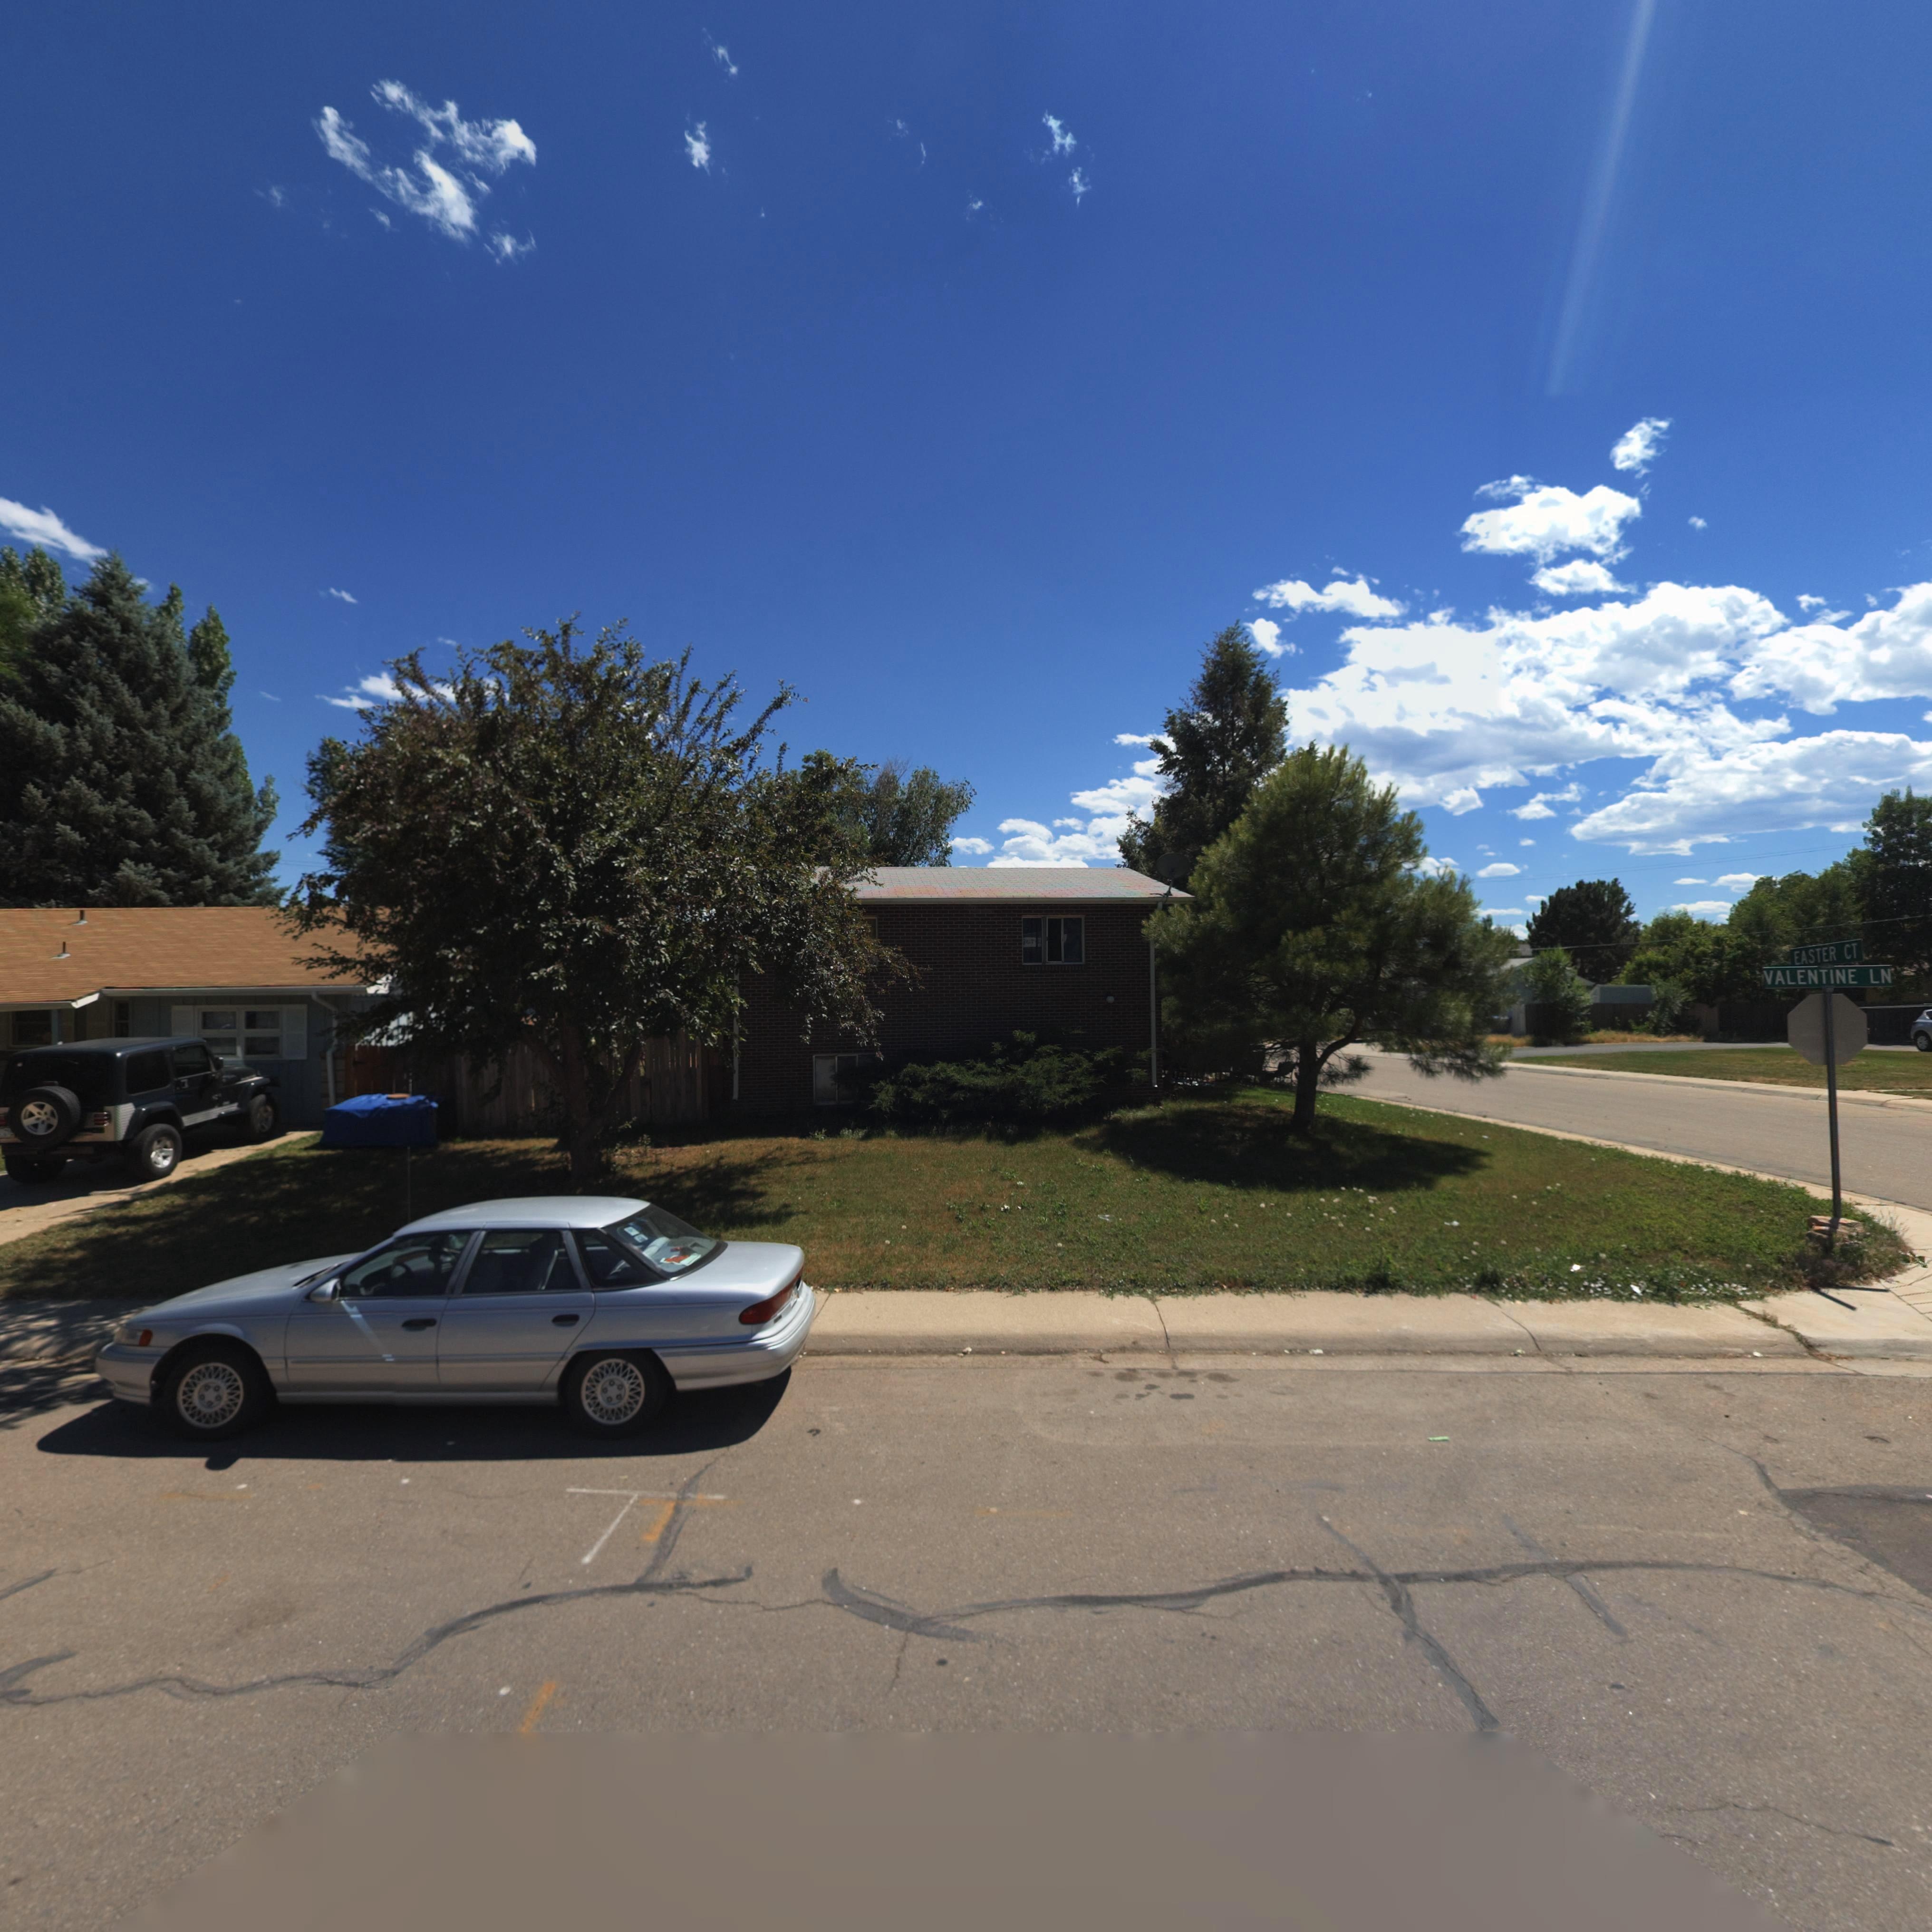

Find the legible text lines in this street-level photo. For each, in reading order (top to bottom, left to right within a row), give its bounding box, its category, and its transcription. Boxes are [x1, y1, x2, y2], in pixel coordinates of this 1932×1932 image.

[1793, 942, 1857, 966] StreetName: EASTER CT
[1762, 968, 1892, 985] StreetName: VALENTINE LN